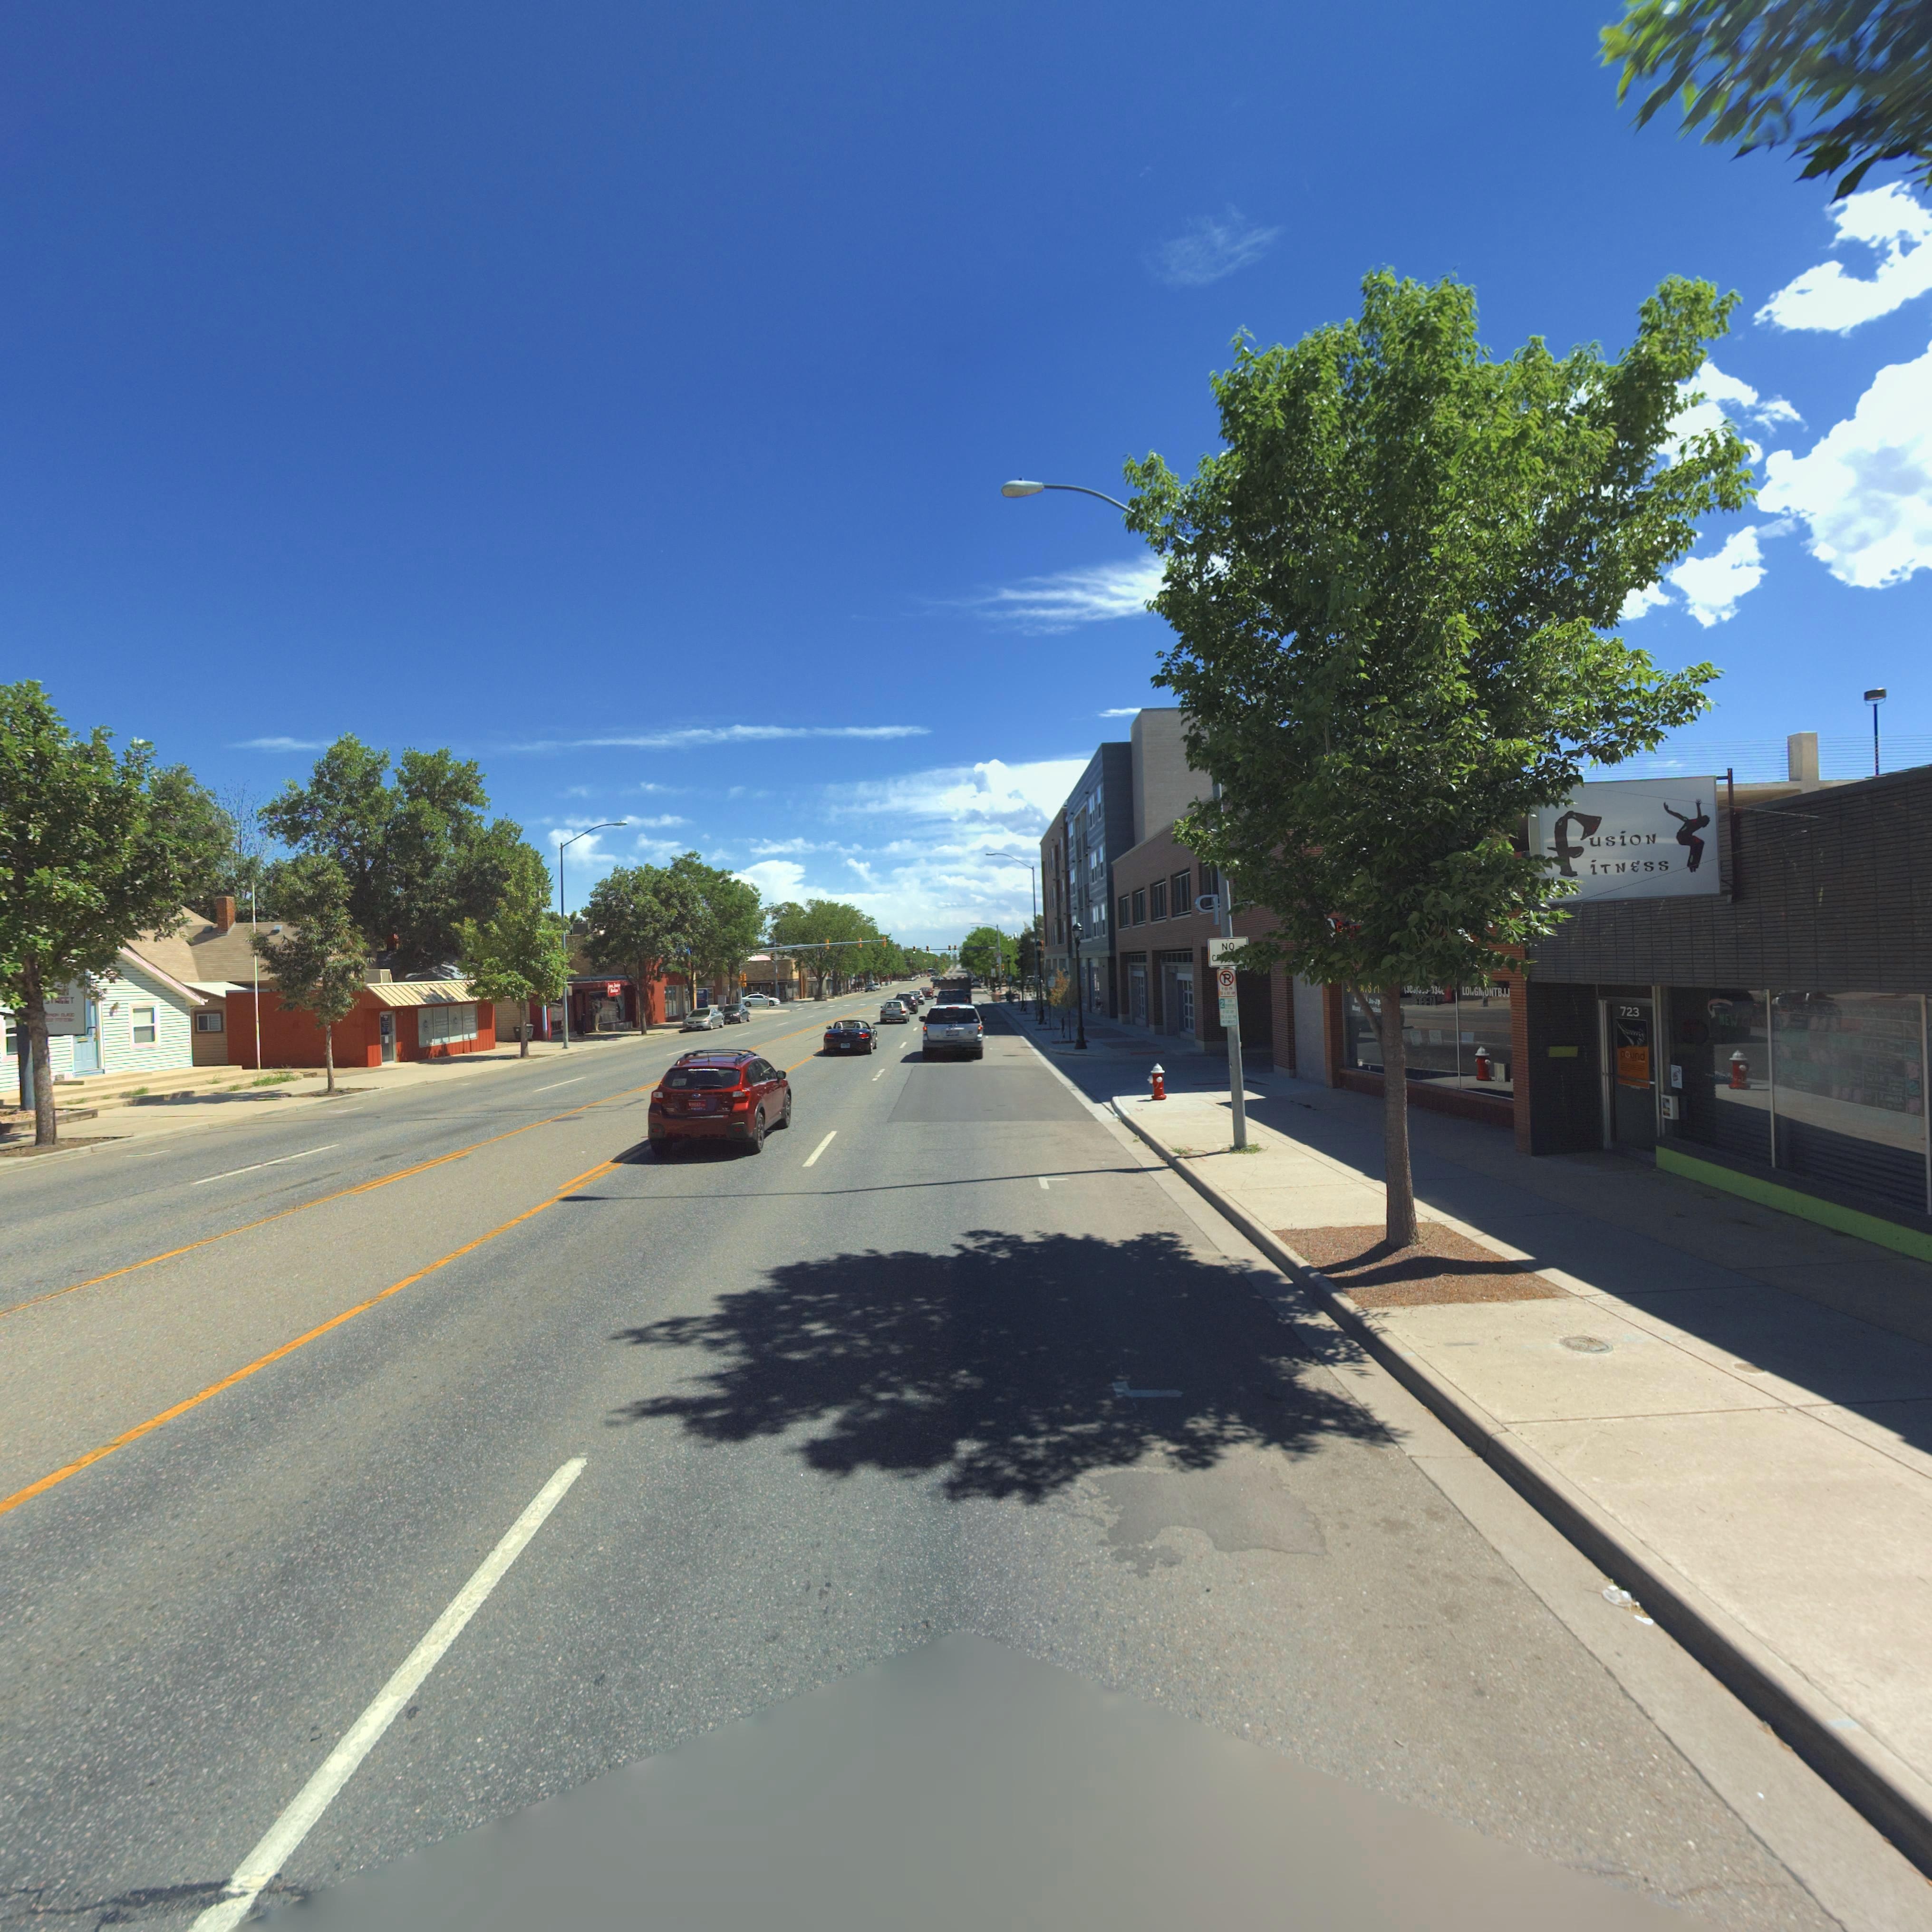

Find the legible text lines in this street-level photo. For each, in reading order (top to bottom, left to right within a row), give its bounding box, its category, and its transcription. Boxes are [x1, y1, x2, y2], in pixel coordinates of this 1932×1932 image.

[1546, 810, 1603, 878] BusinessName: f
[1588, 829, 1657, 847] BusinessName: usioN
[1589, 858, 1669, 875] BusinessName: iTNEss
[44, 997, 74, 1004] StreetName: **REET
[1619, 1005, 1640, 1017] StreetNumber: 723